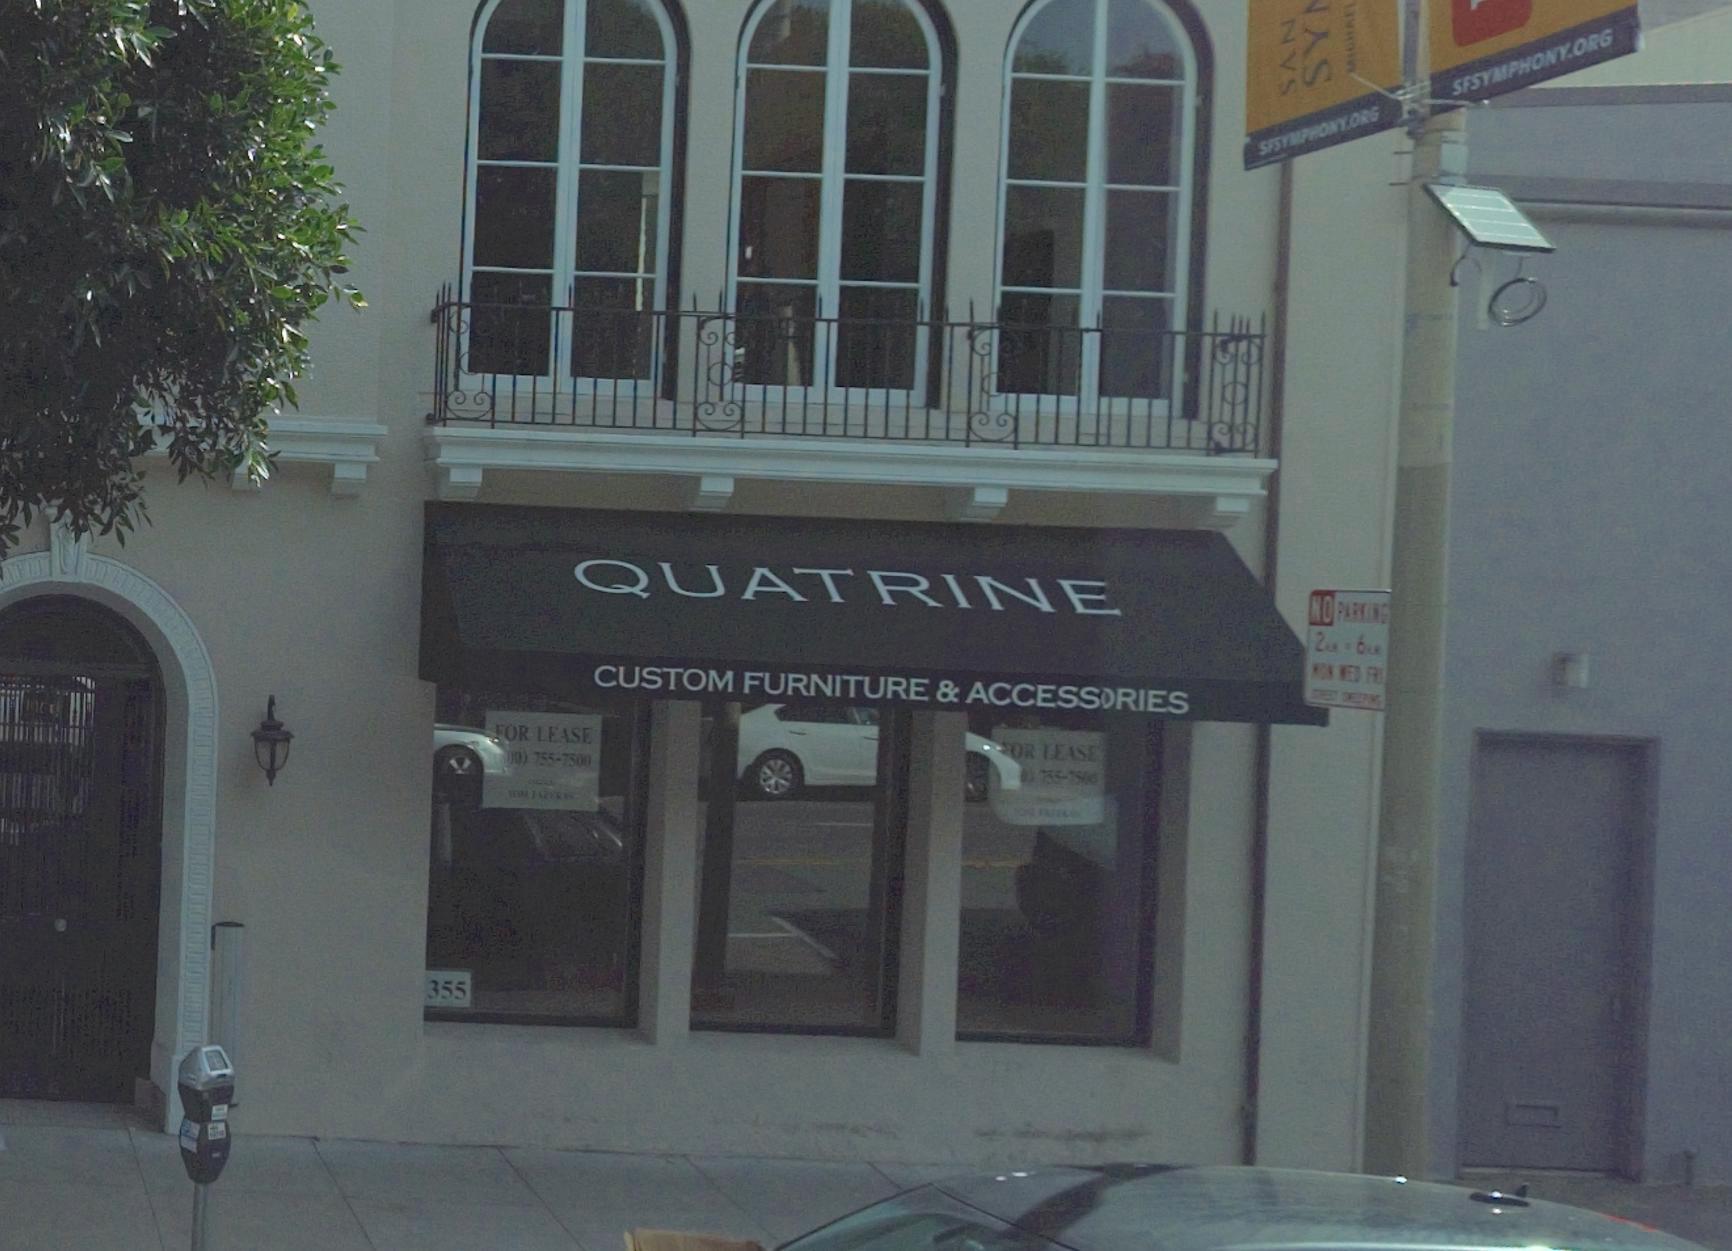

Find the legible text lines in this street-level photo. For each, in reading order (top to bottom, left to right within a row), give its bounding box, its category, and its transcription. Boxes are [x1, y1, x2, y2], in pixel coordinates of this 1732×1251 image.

[1276, 15, 1300, 101] None: SAN
[1299, 25, 1334, 91] None: SY
[1448, 25, 1618, 100] None: SFSYMPHONY.ORG
[1255, 102, 1383, 160] None: SFSY***ONY.ORG
[568, 556, 1128, 619] BusinessName: QUATRINE
[1307, 591, 1392, 629] None: NO PARKING
[1312, 627, 1328, 655] None: 2
[1352, 629, 1369, 659] None: 6
[590, 660, 1192, 717] BusinessName: CUSTOM FURNITURE & ACCESS*RIES
[494, 721, 595, 747] None: *OR LEASE
[531, 749, 595, 772] None: 755-7*00
[1008, 737, 1099, 766] None: OR LEASE
[1035, 767, 1101, 788] None: 755-75*0
[424, 977, 470, 1003] StreetNumber: 355